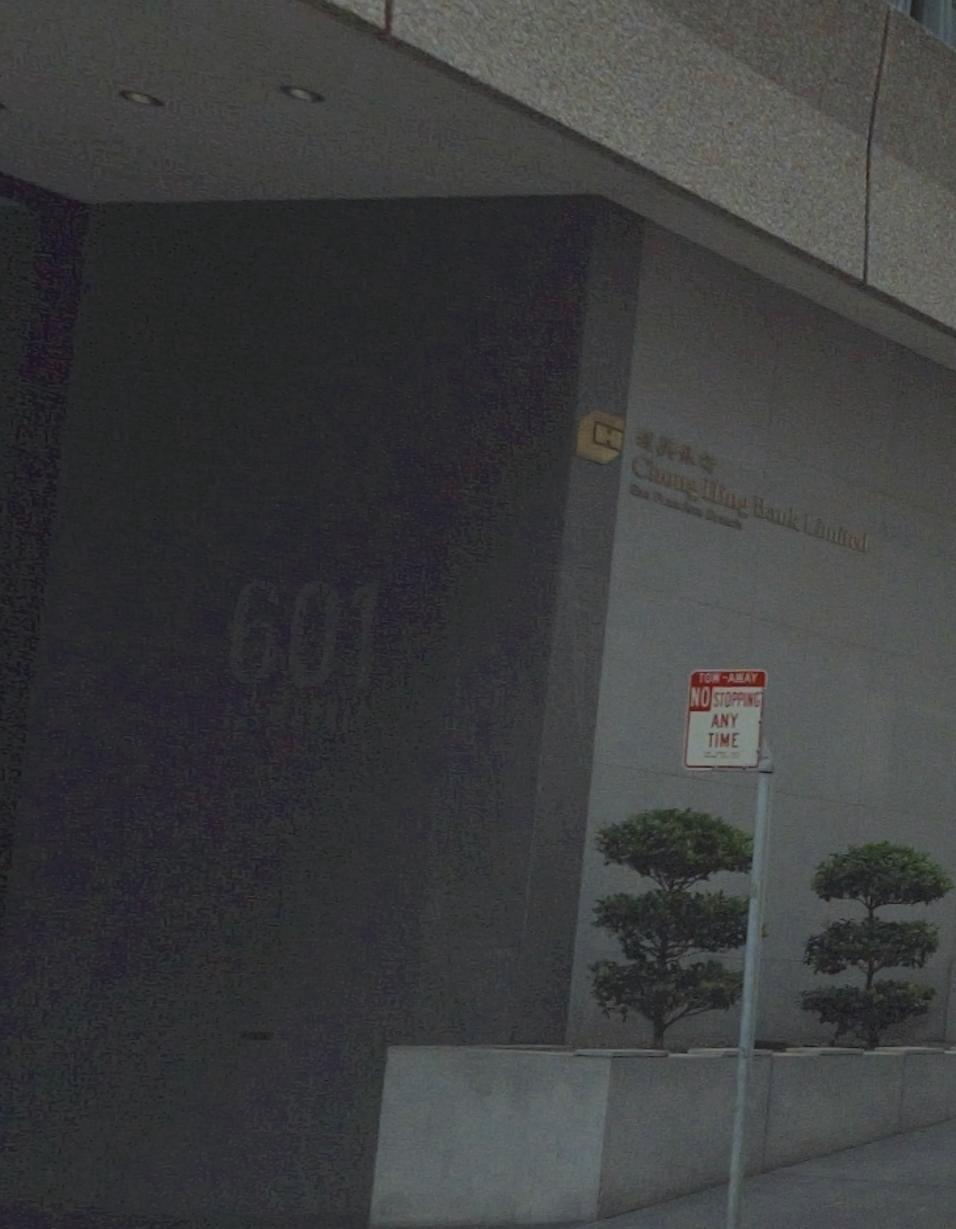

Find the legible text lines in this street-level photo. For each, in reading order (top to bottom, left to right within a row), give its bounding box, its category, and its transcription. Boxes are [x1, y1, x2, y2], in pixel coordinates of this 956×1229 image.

[628, 450, 875, 559] BusinessName: Ch*ng HIng Bank **mited
[222, 572, 393, 698] StreetNumber: 601
[696, 670, 763, 687] None: TOW - AWAY
[687, 684, 763, 711] None: NO STOPPING
[708, 710, 741, 731] None: ANY
[705, 730, 741, 751] None: TIME